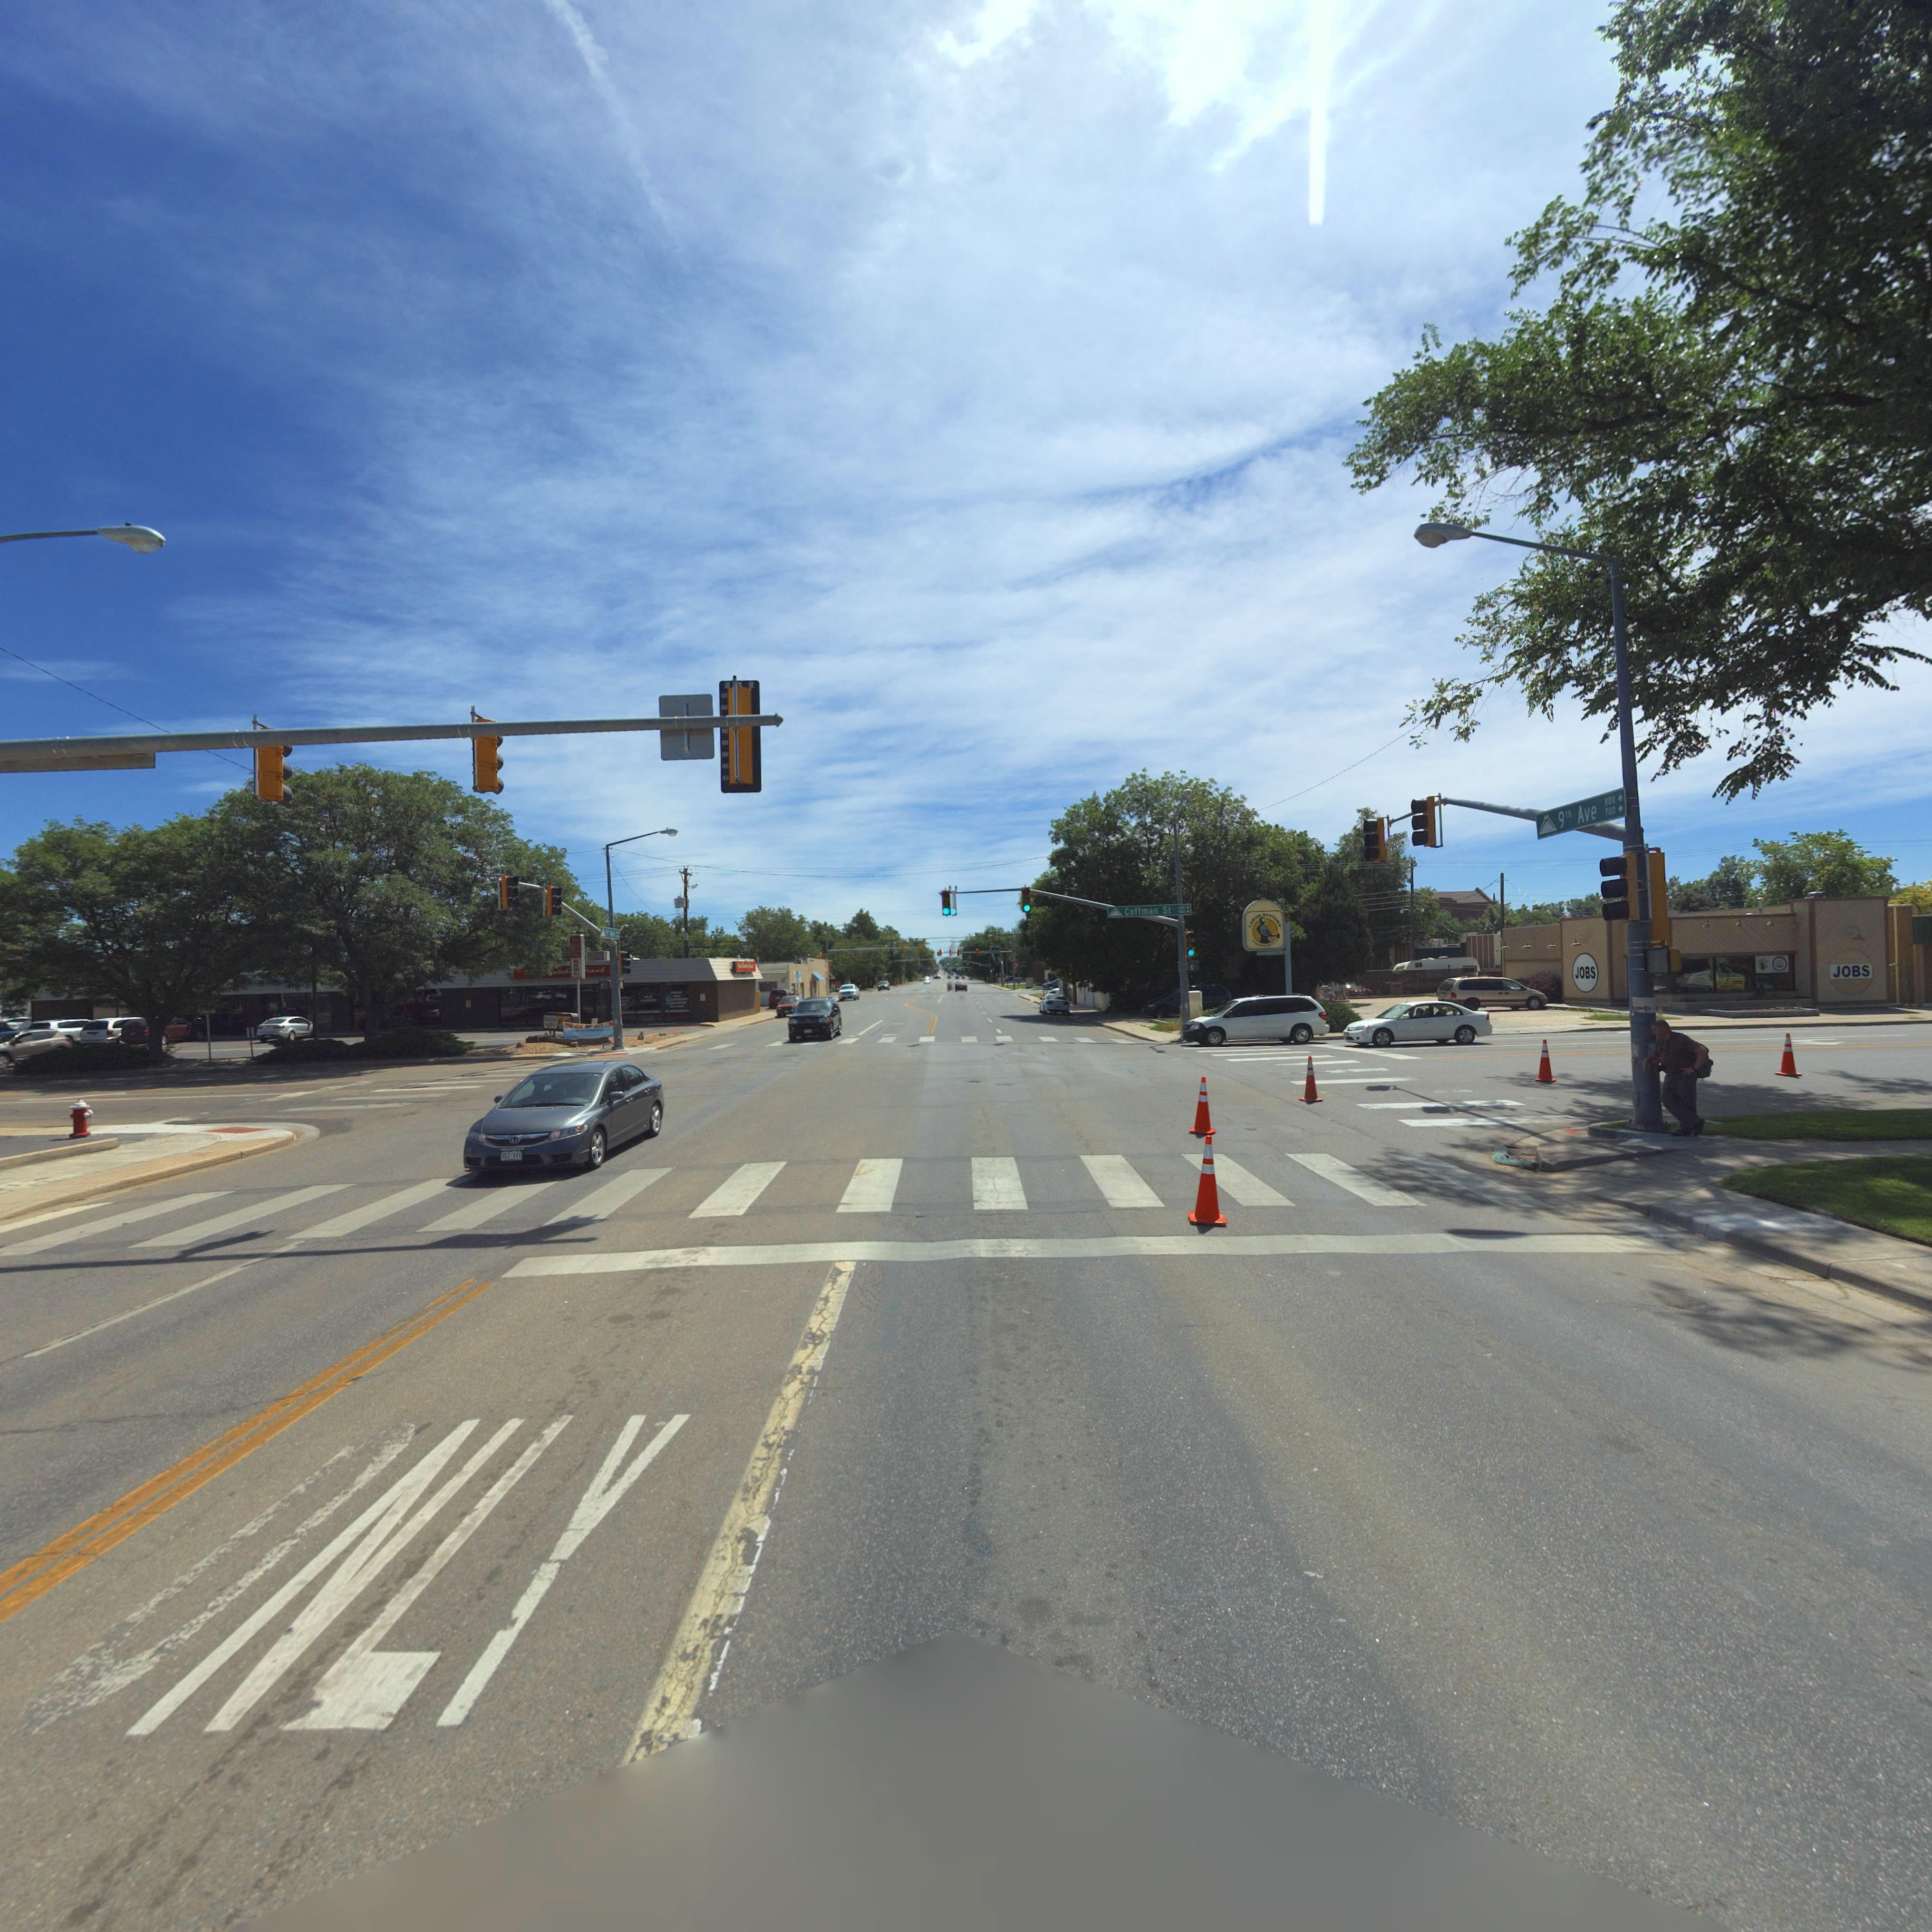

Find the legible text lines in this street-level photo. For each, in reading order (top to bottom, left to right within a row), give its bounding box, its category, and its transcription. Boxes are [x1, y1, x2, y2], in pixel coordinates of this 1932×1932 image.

[1604, 795, 1616, 806] StreetNumberRange: 800
[1604, 804, 1624, 817] StreetNumberRange: 700->
[1557, 804, 1597, 829] StreetName: 9t* Ave
[1124, 906, 1172, 916] StreetName: Coffman St
[1178, 905, 1186, 909] StreetNumberRange: 60*
[1178, 909, 1186, 914] StreetNumberRange: *0*
[1247, 912, 1281, 928] BusinessName: LA*O* SY*T***
[606, 929, 616, 937] StreetName: *** **e
[552, 966, 606, 974] BusinessName: *tch******ra**